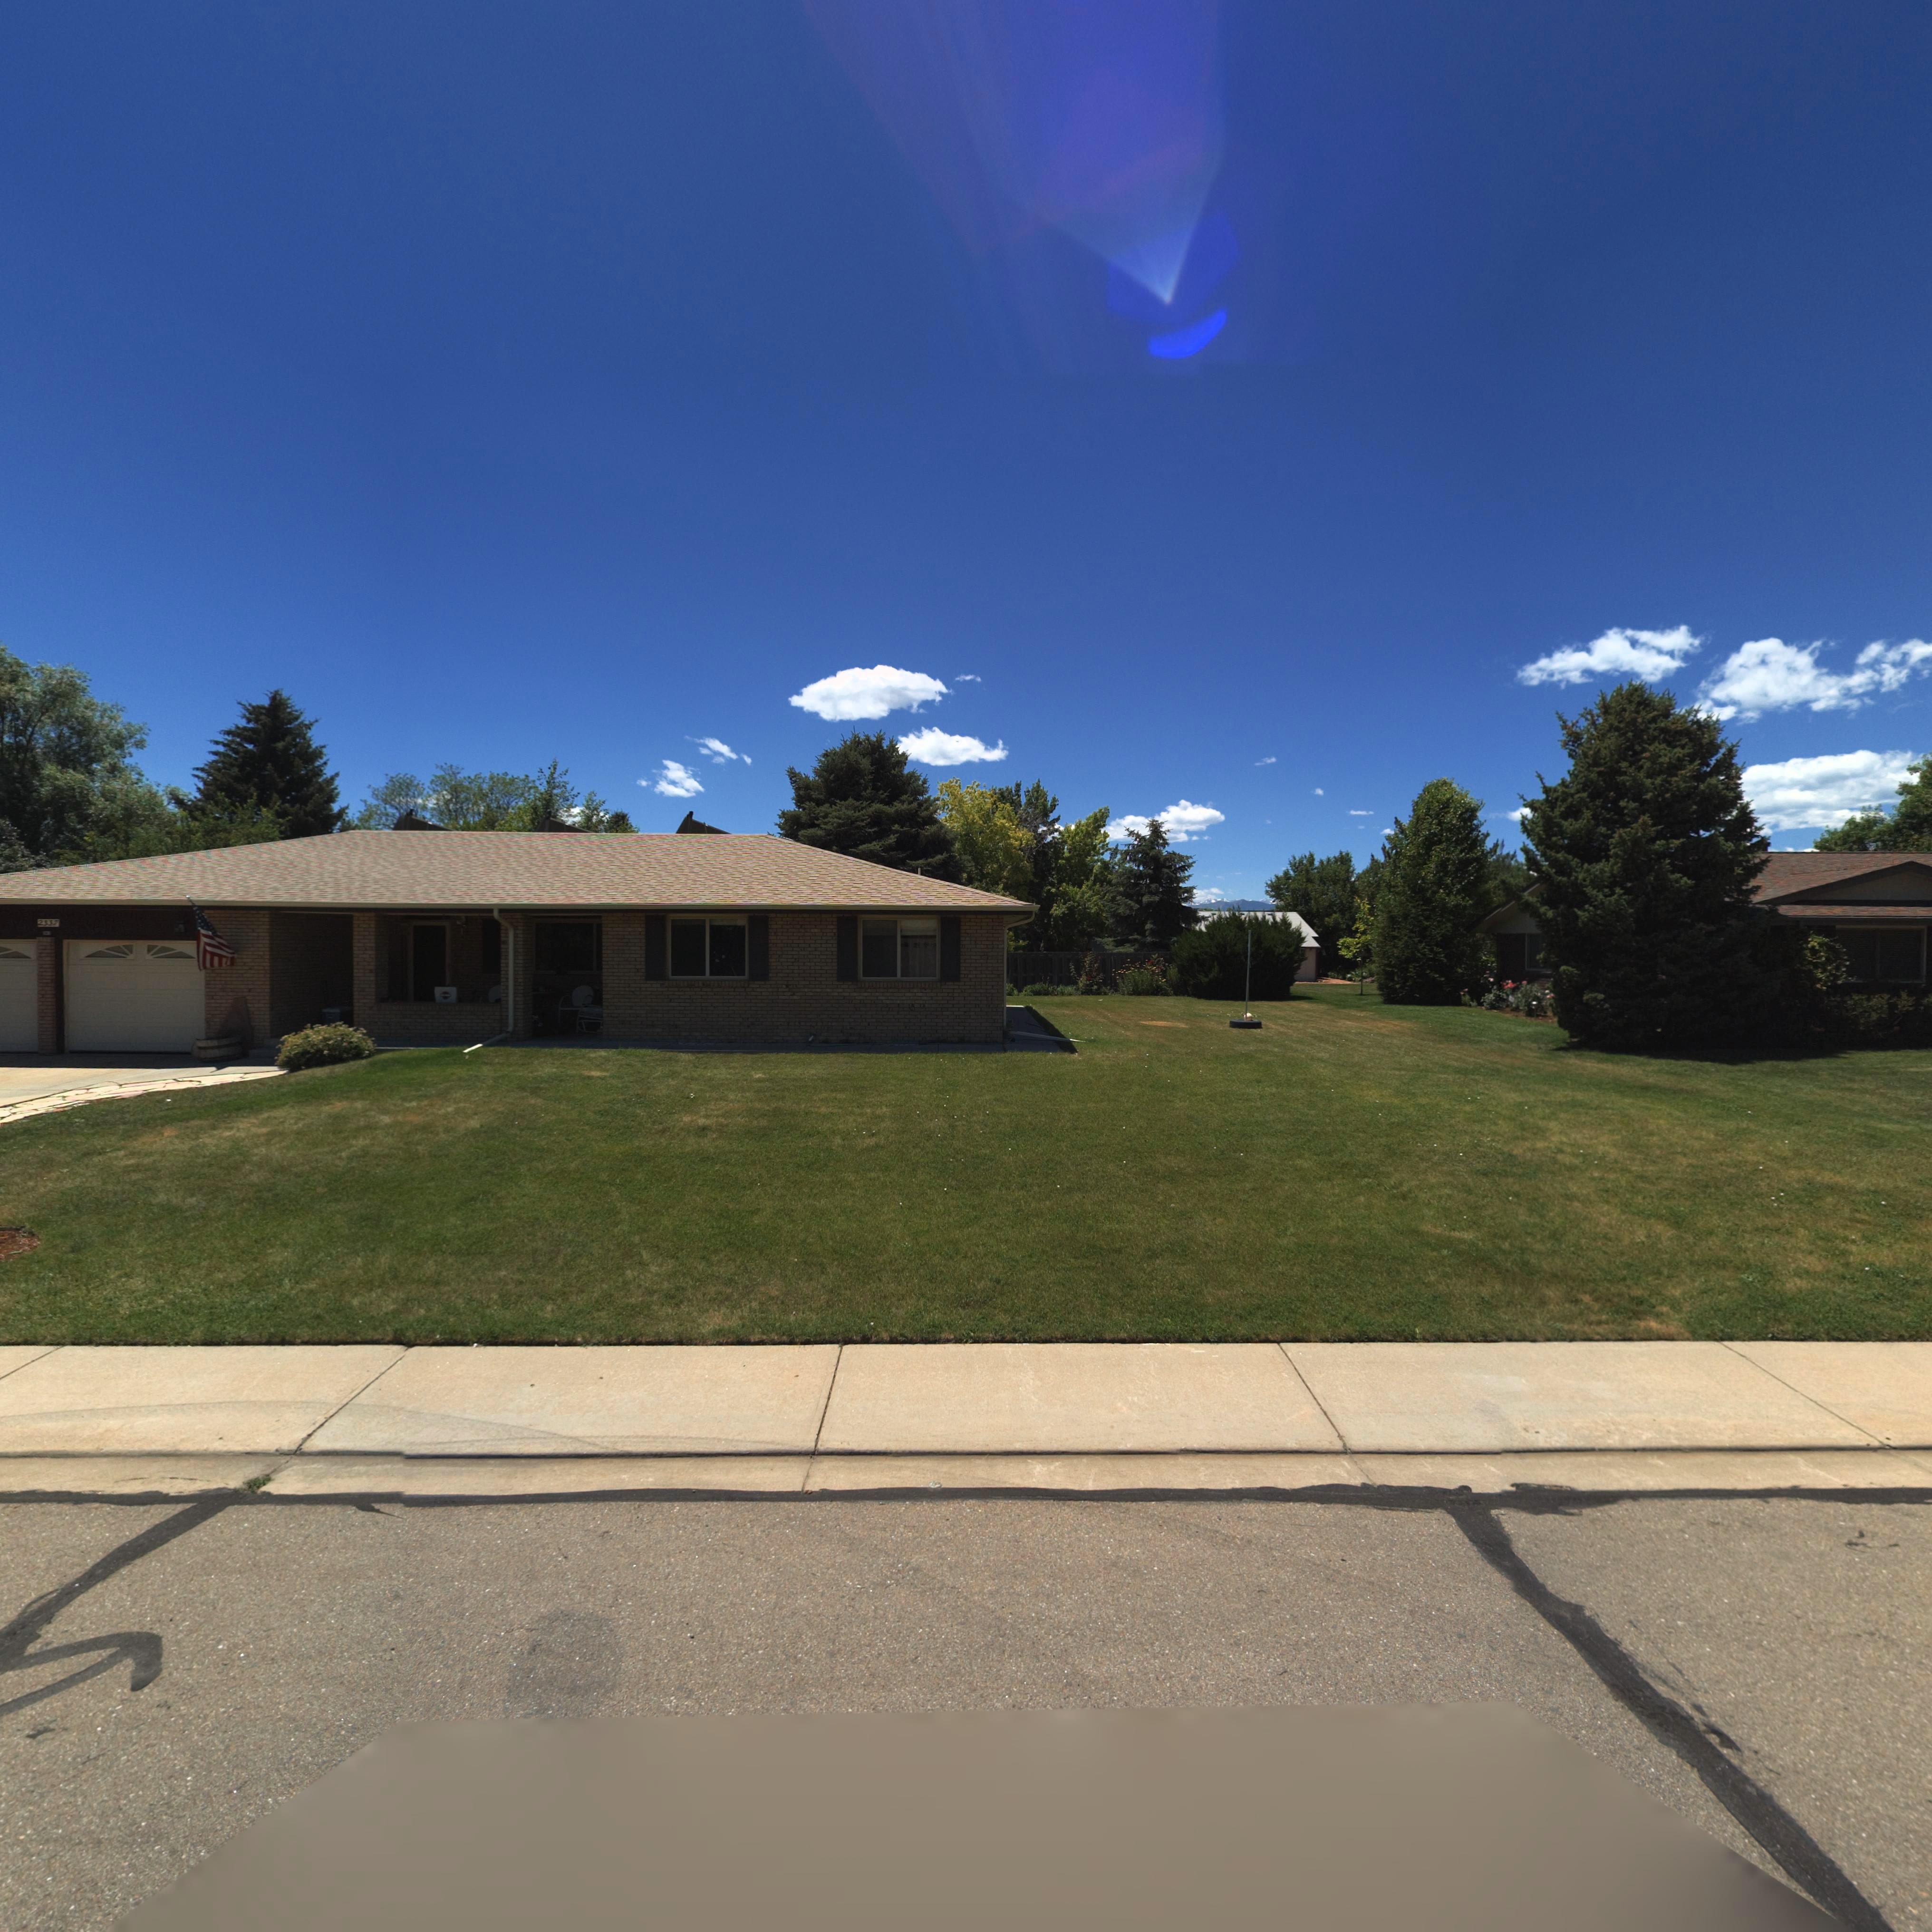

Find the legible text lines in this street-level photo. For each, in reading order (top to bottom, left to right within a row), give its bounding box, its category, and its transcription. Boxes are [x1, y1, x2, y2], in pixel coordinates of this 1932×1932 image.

[37, 919, 59, 926] StreetNumber: 2337